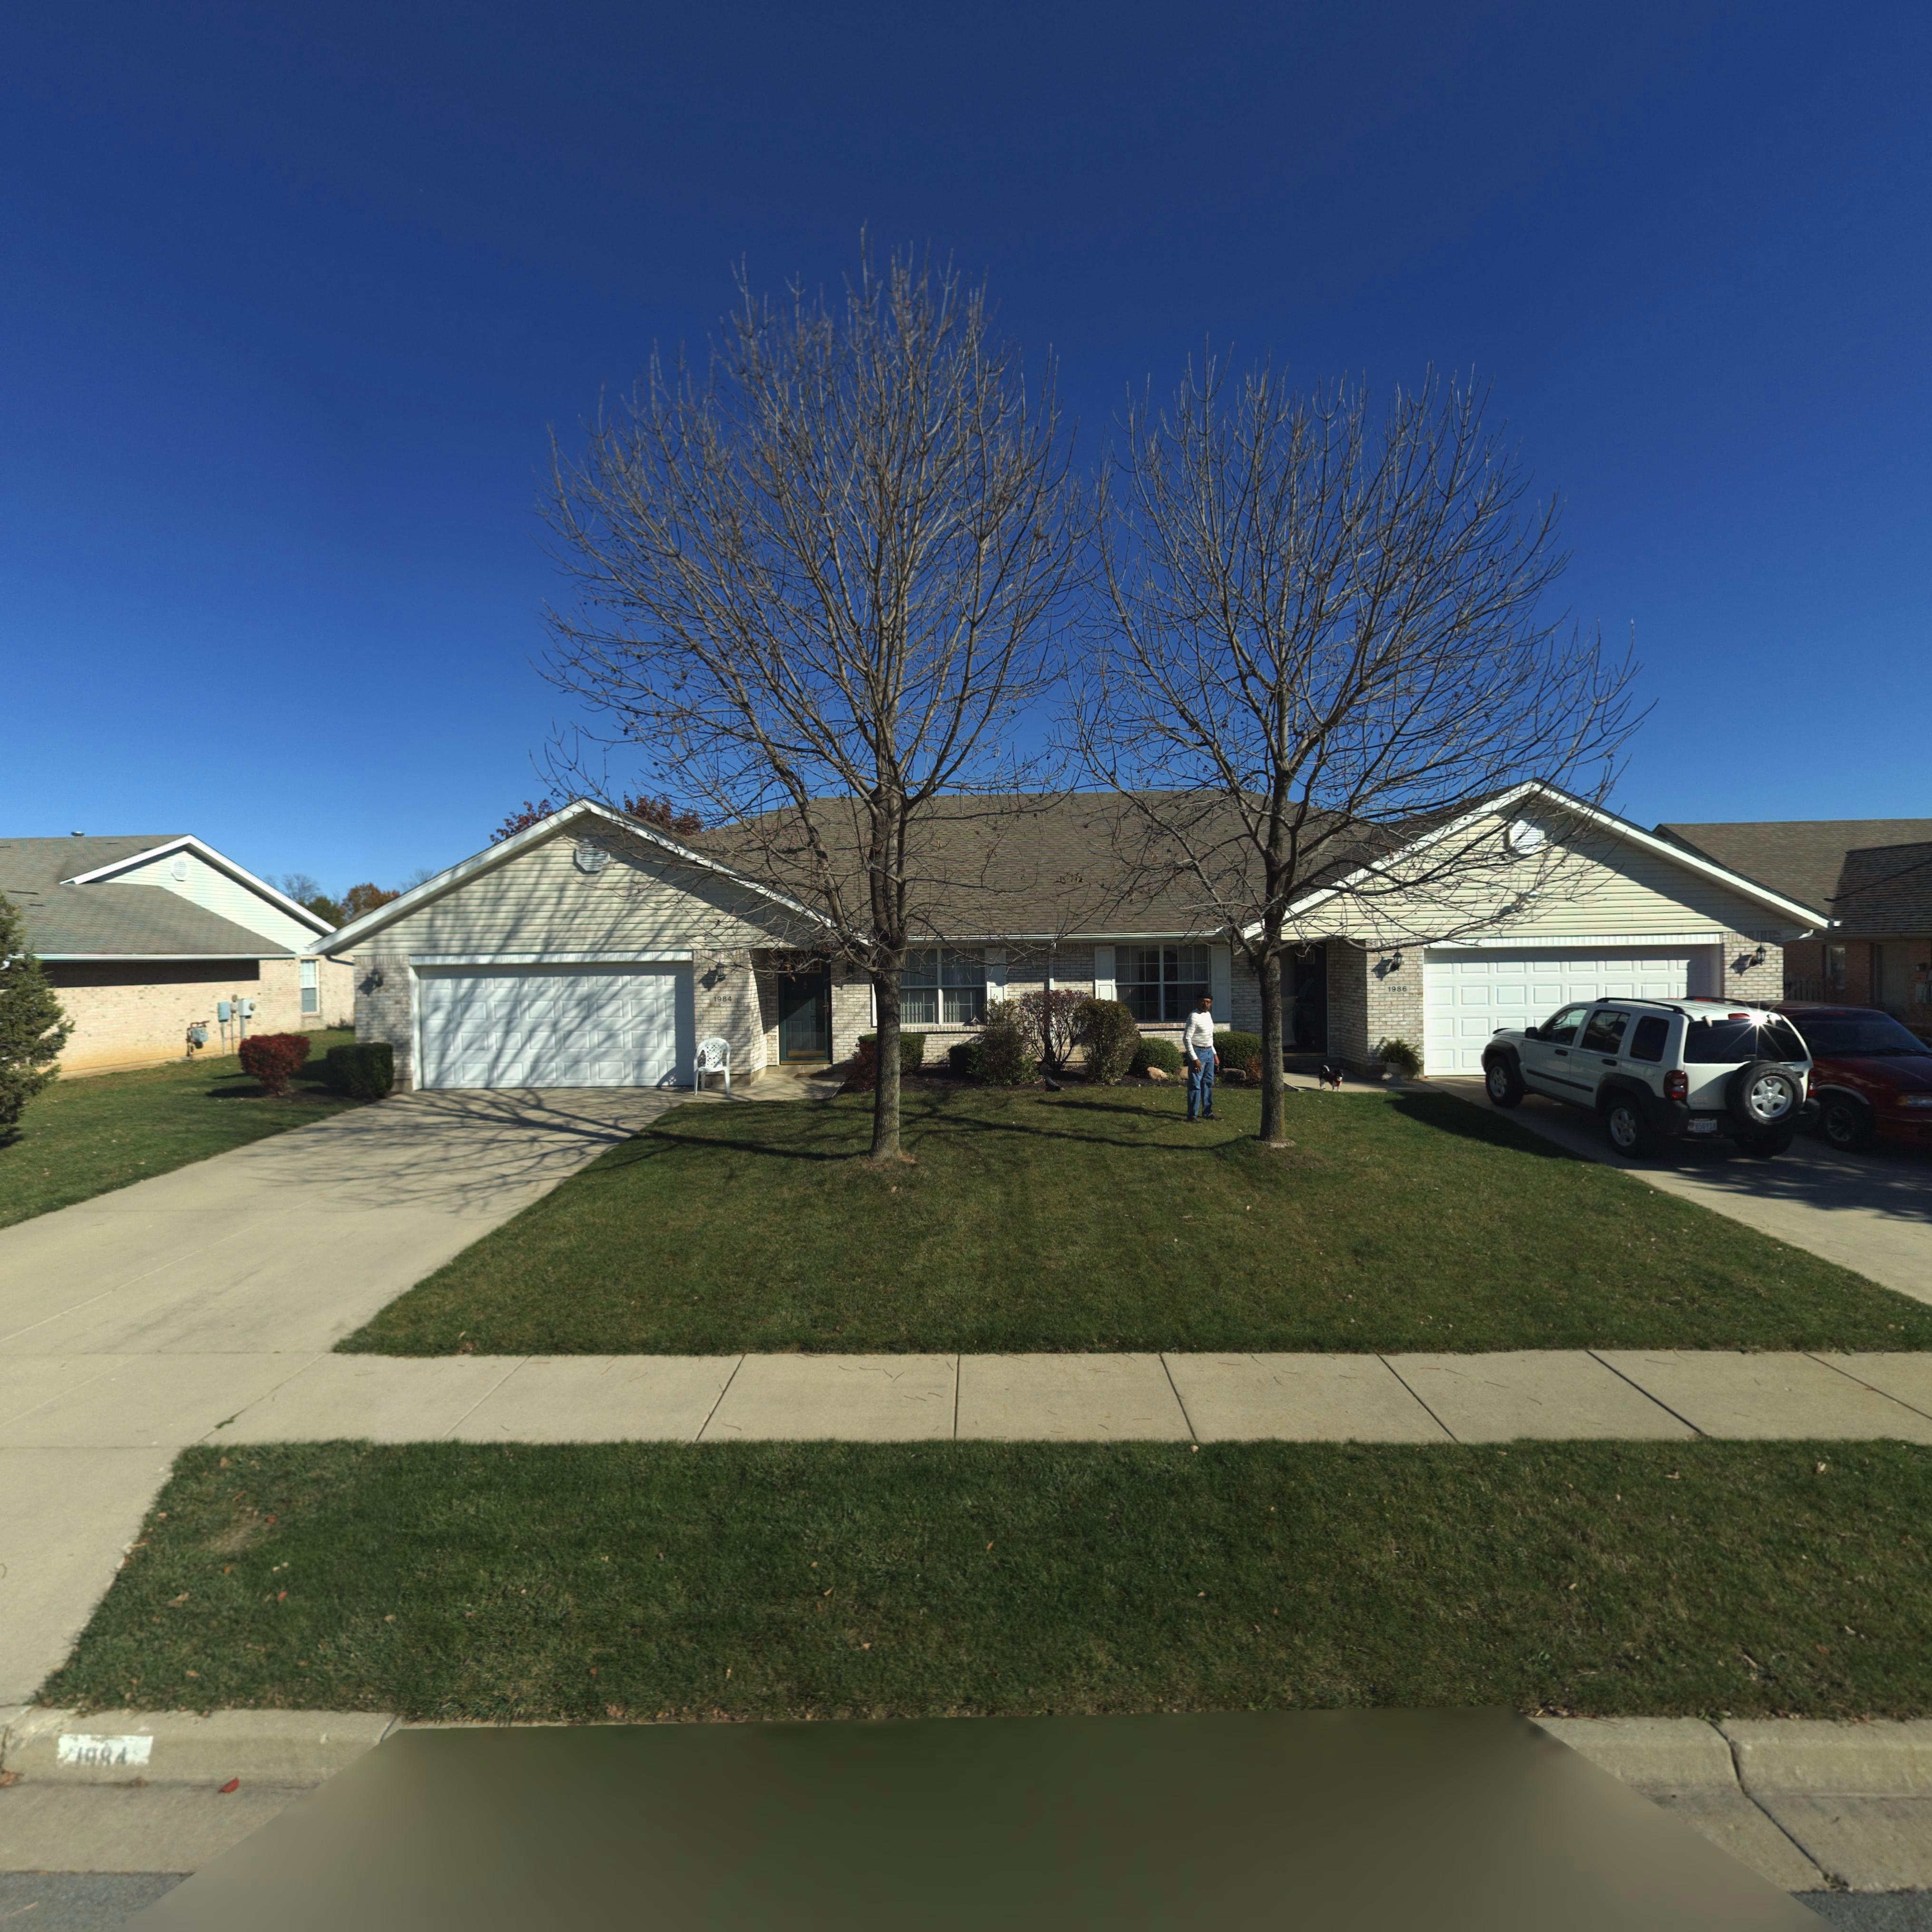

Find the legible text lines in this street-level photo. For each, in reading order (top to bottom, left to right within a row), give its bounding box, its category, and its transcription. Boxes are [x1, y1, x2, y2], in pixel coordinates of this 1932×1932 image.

[1387, 985, 1408, 993] StreetNumber: 1986
[712, 995, 733, 1003] StreetNumber: 1984